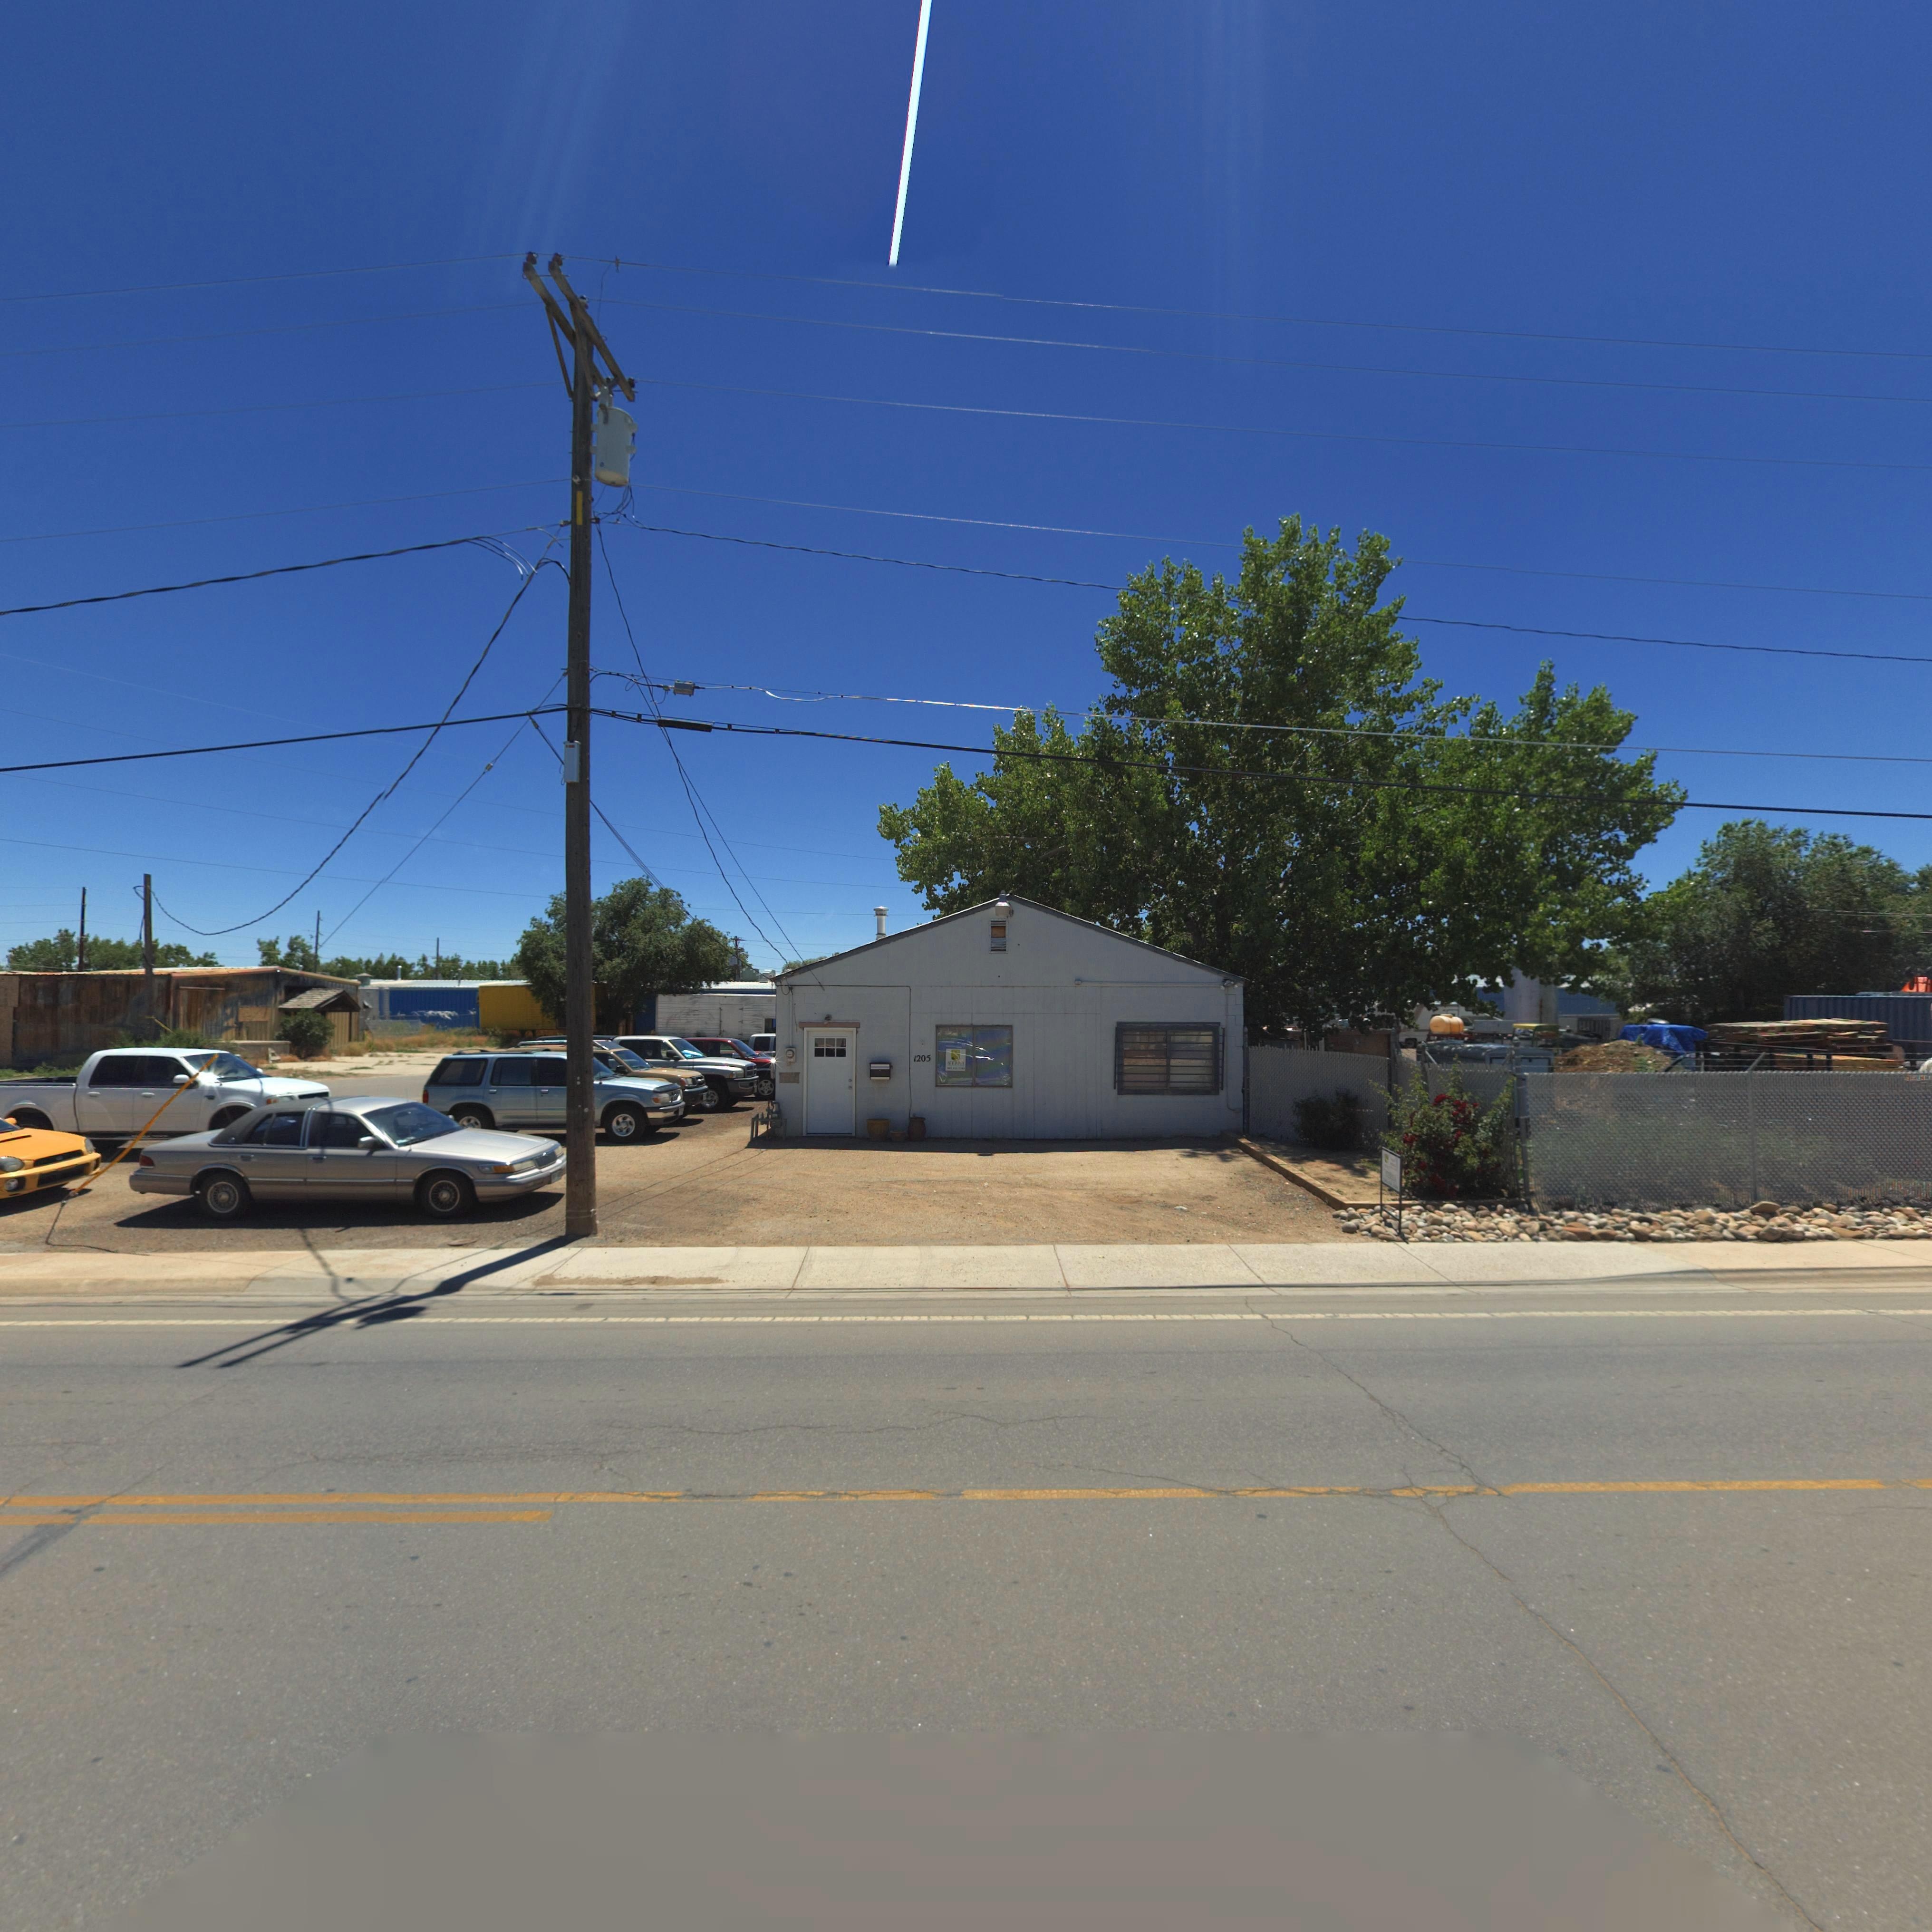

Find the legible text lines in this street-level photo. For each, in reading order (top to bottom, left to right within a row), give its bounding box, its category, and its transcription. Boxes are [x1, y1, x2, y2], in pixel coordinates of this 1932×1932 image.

[914, 1054, 930, 1062] StreetNumber: 1205
[947, 1061, 964, 1065] BusinessName: SIERRA